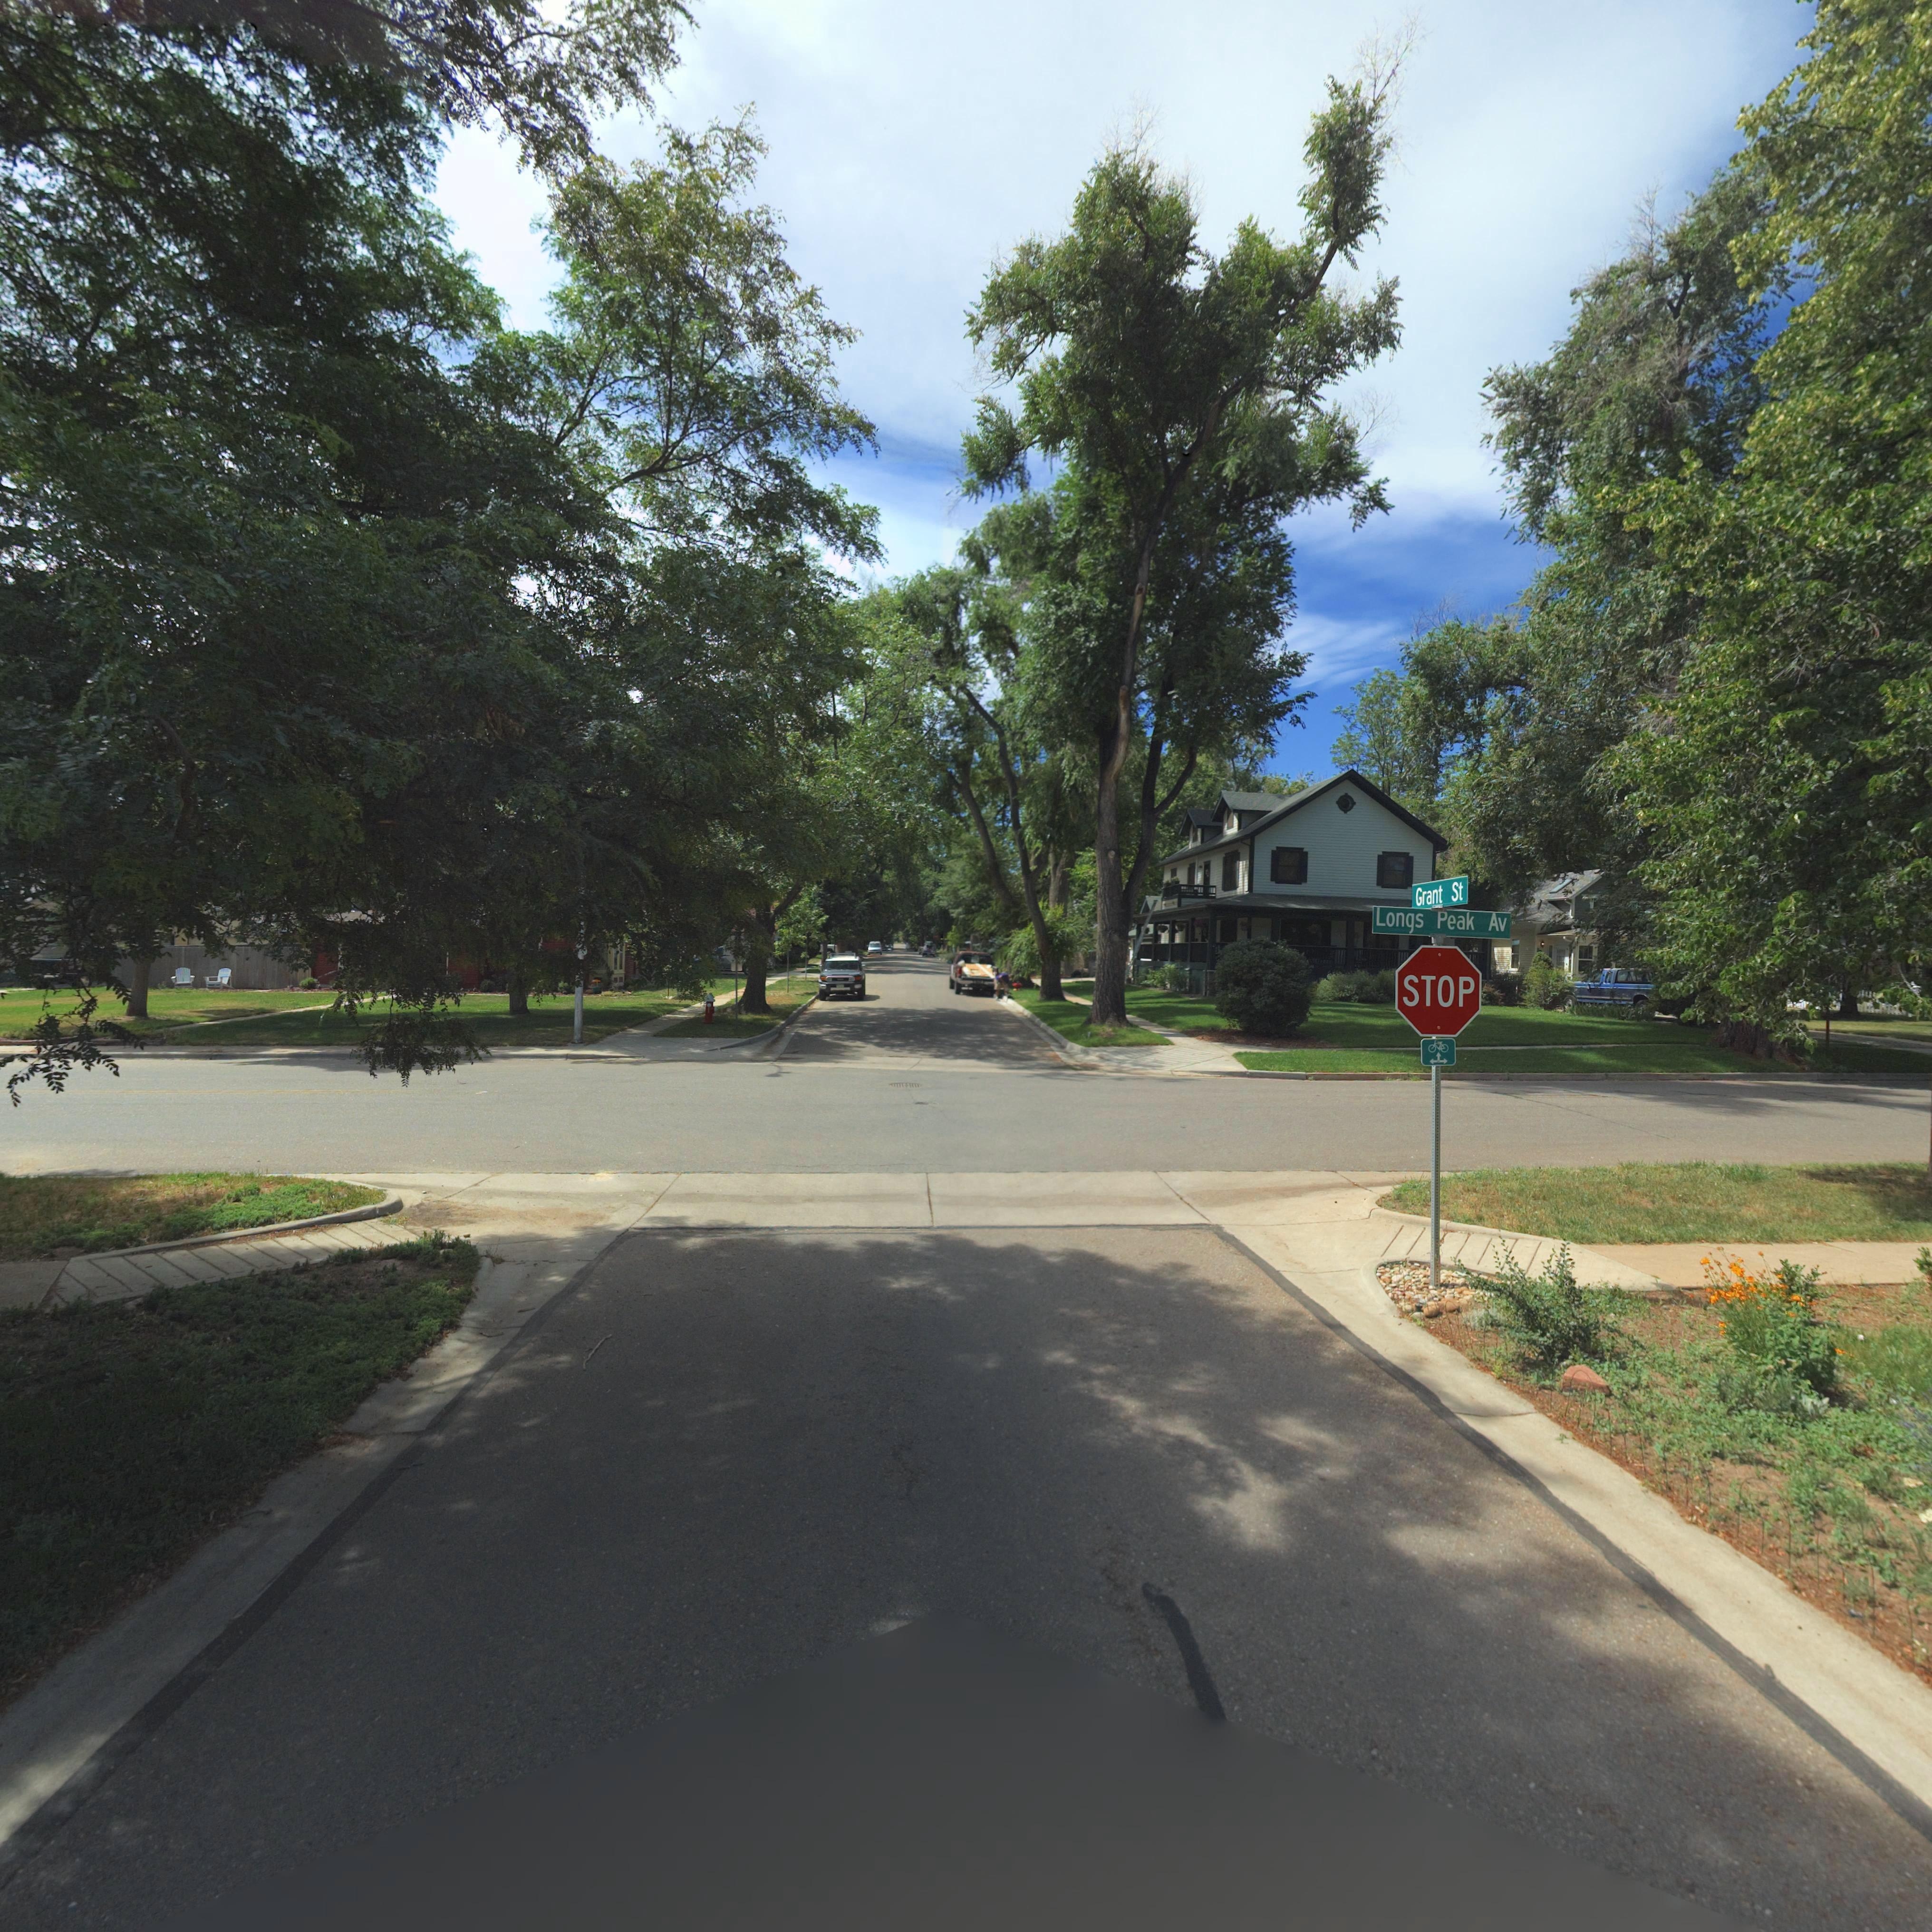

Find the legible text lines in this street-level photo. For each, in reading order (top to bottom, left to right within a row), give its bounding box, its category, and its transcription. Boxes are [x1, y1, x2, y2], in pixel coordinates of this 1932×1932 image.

[1415, 880, 1464, 907] StreetName: Grant St
[1375, 906, 1509, 935] StreetName: Longs Peak Av